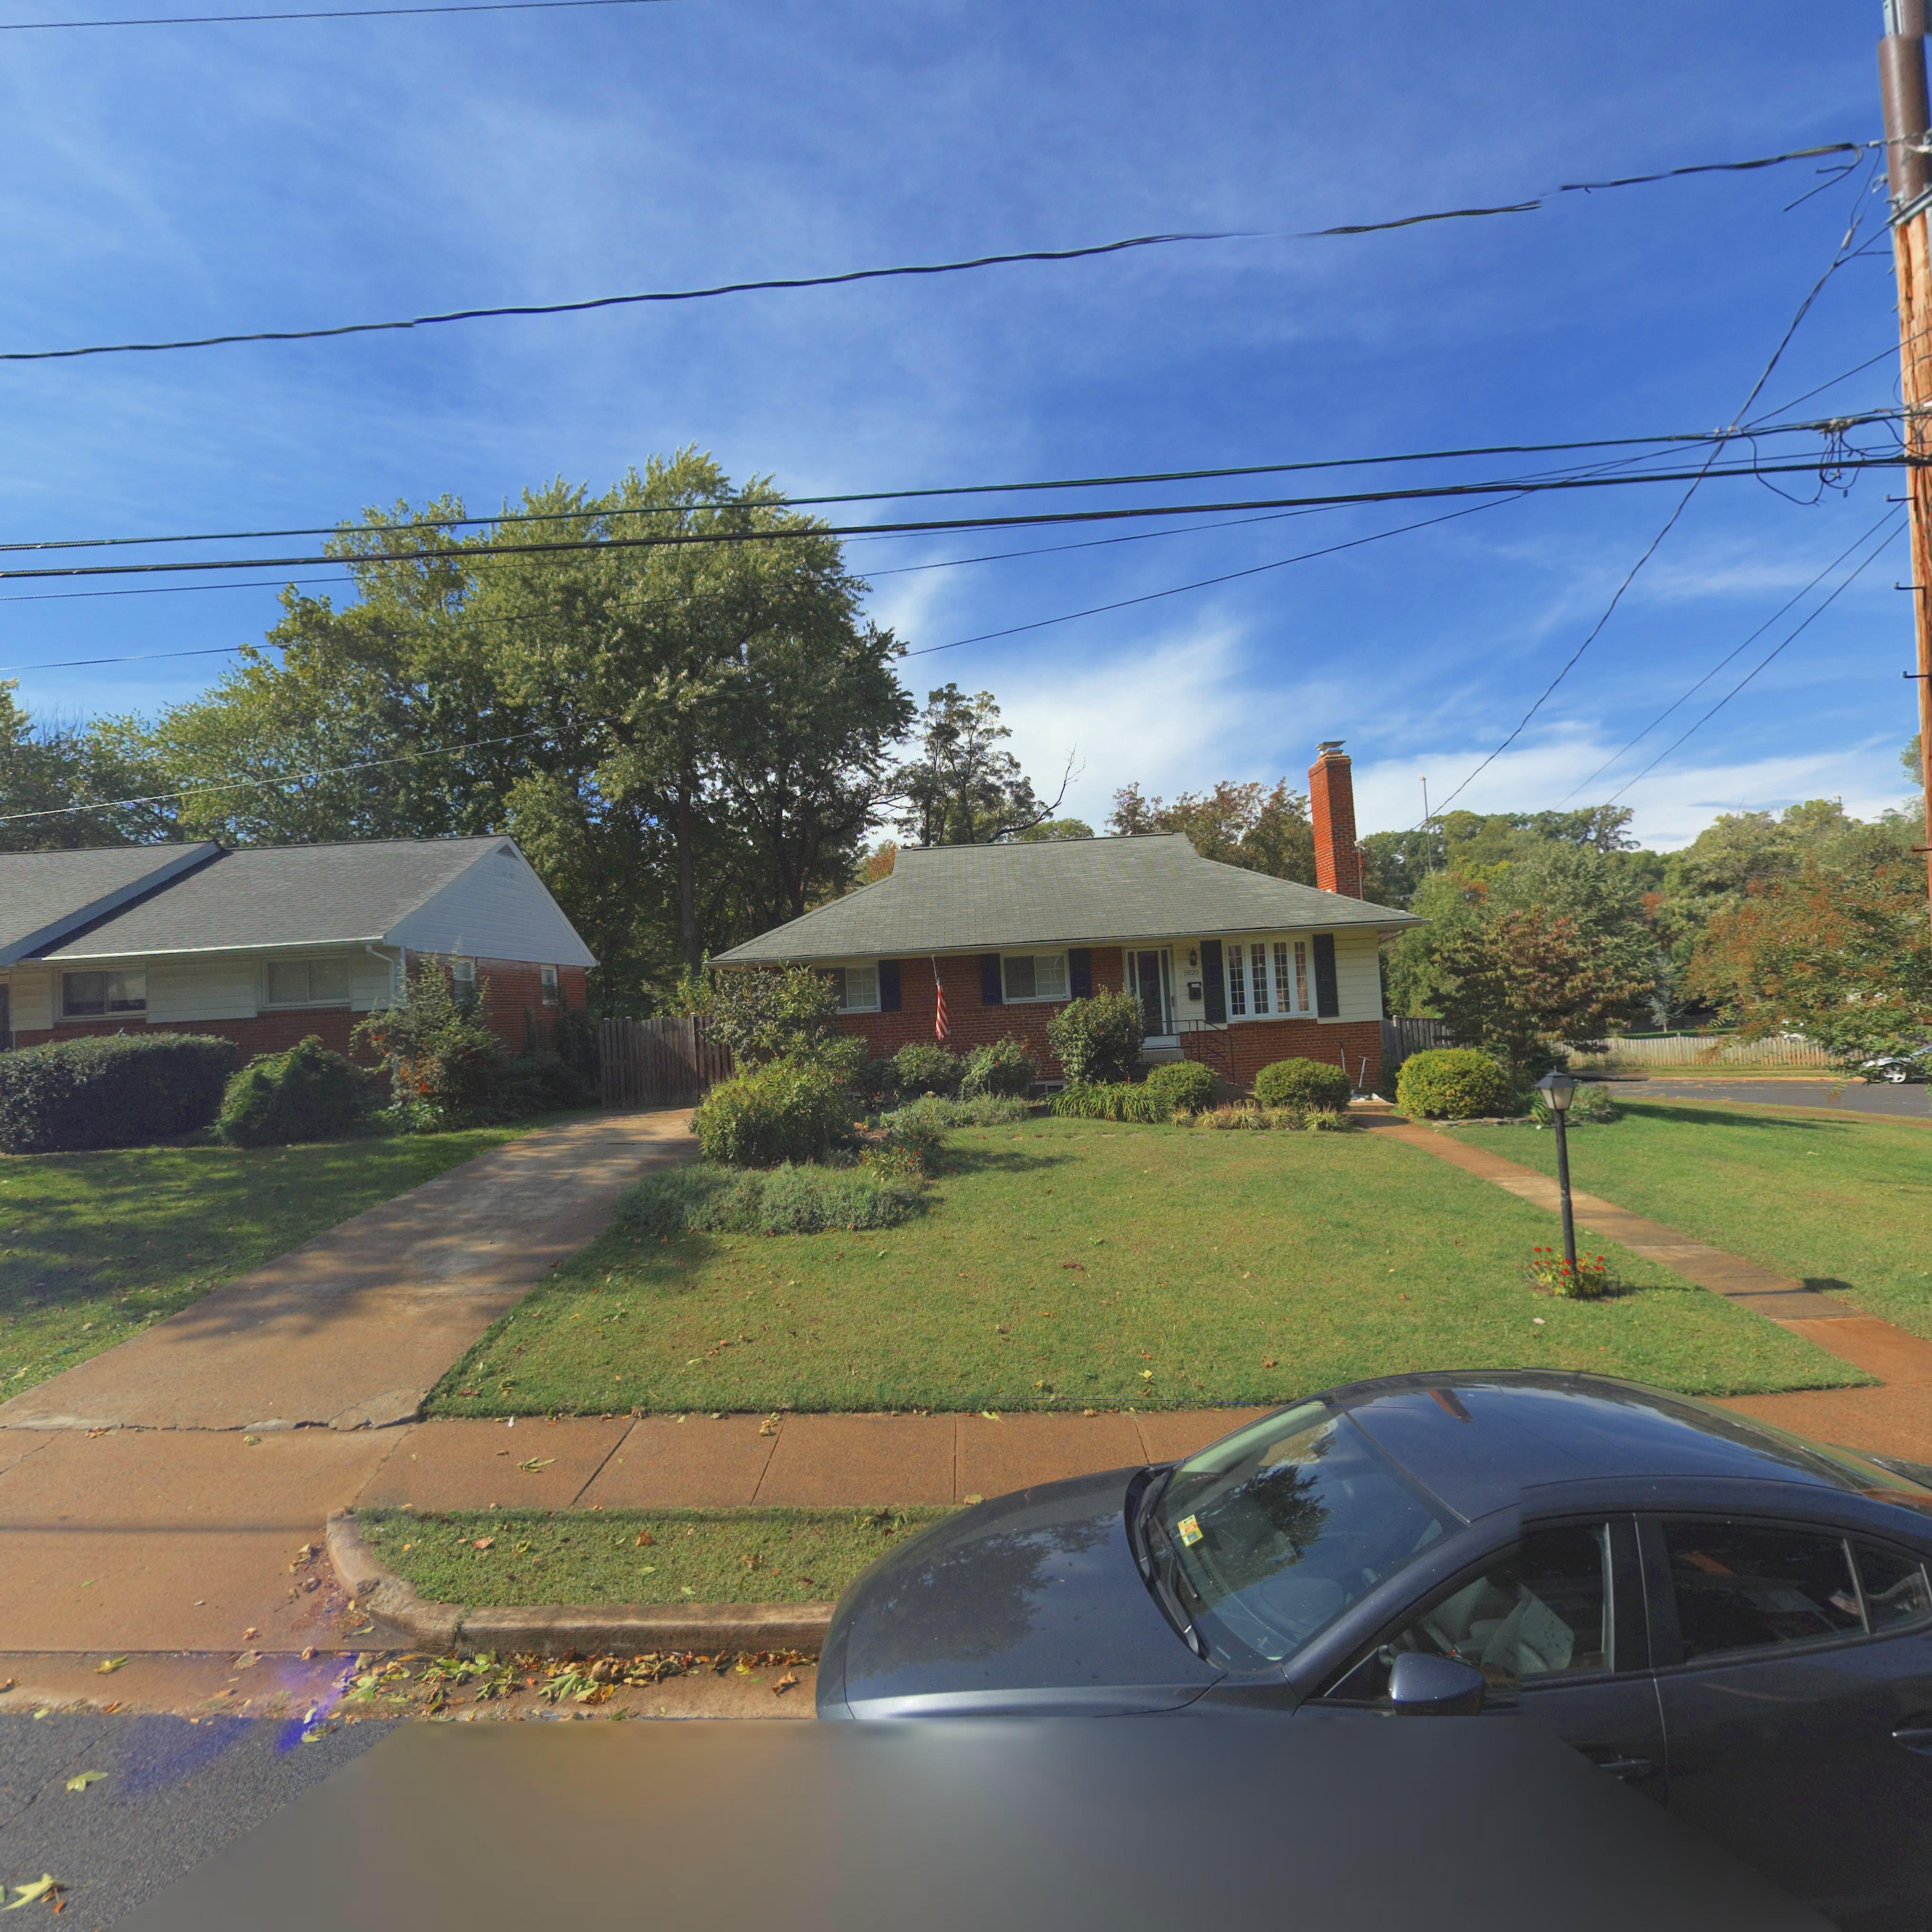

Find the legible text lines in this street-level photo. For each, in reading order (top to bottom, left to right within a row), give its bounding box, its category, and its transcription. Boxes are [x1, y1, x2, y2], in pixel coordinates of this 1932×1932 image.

[1184, 968, 1199, 976] StreetNumber: 1820